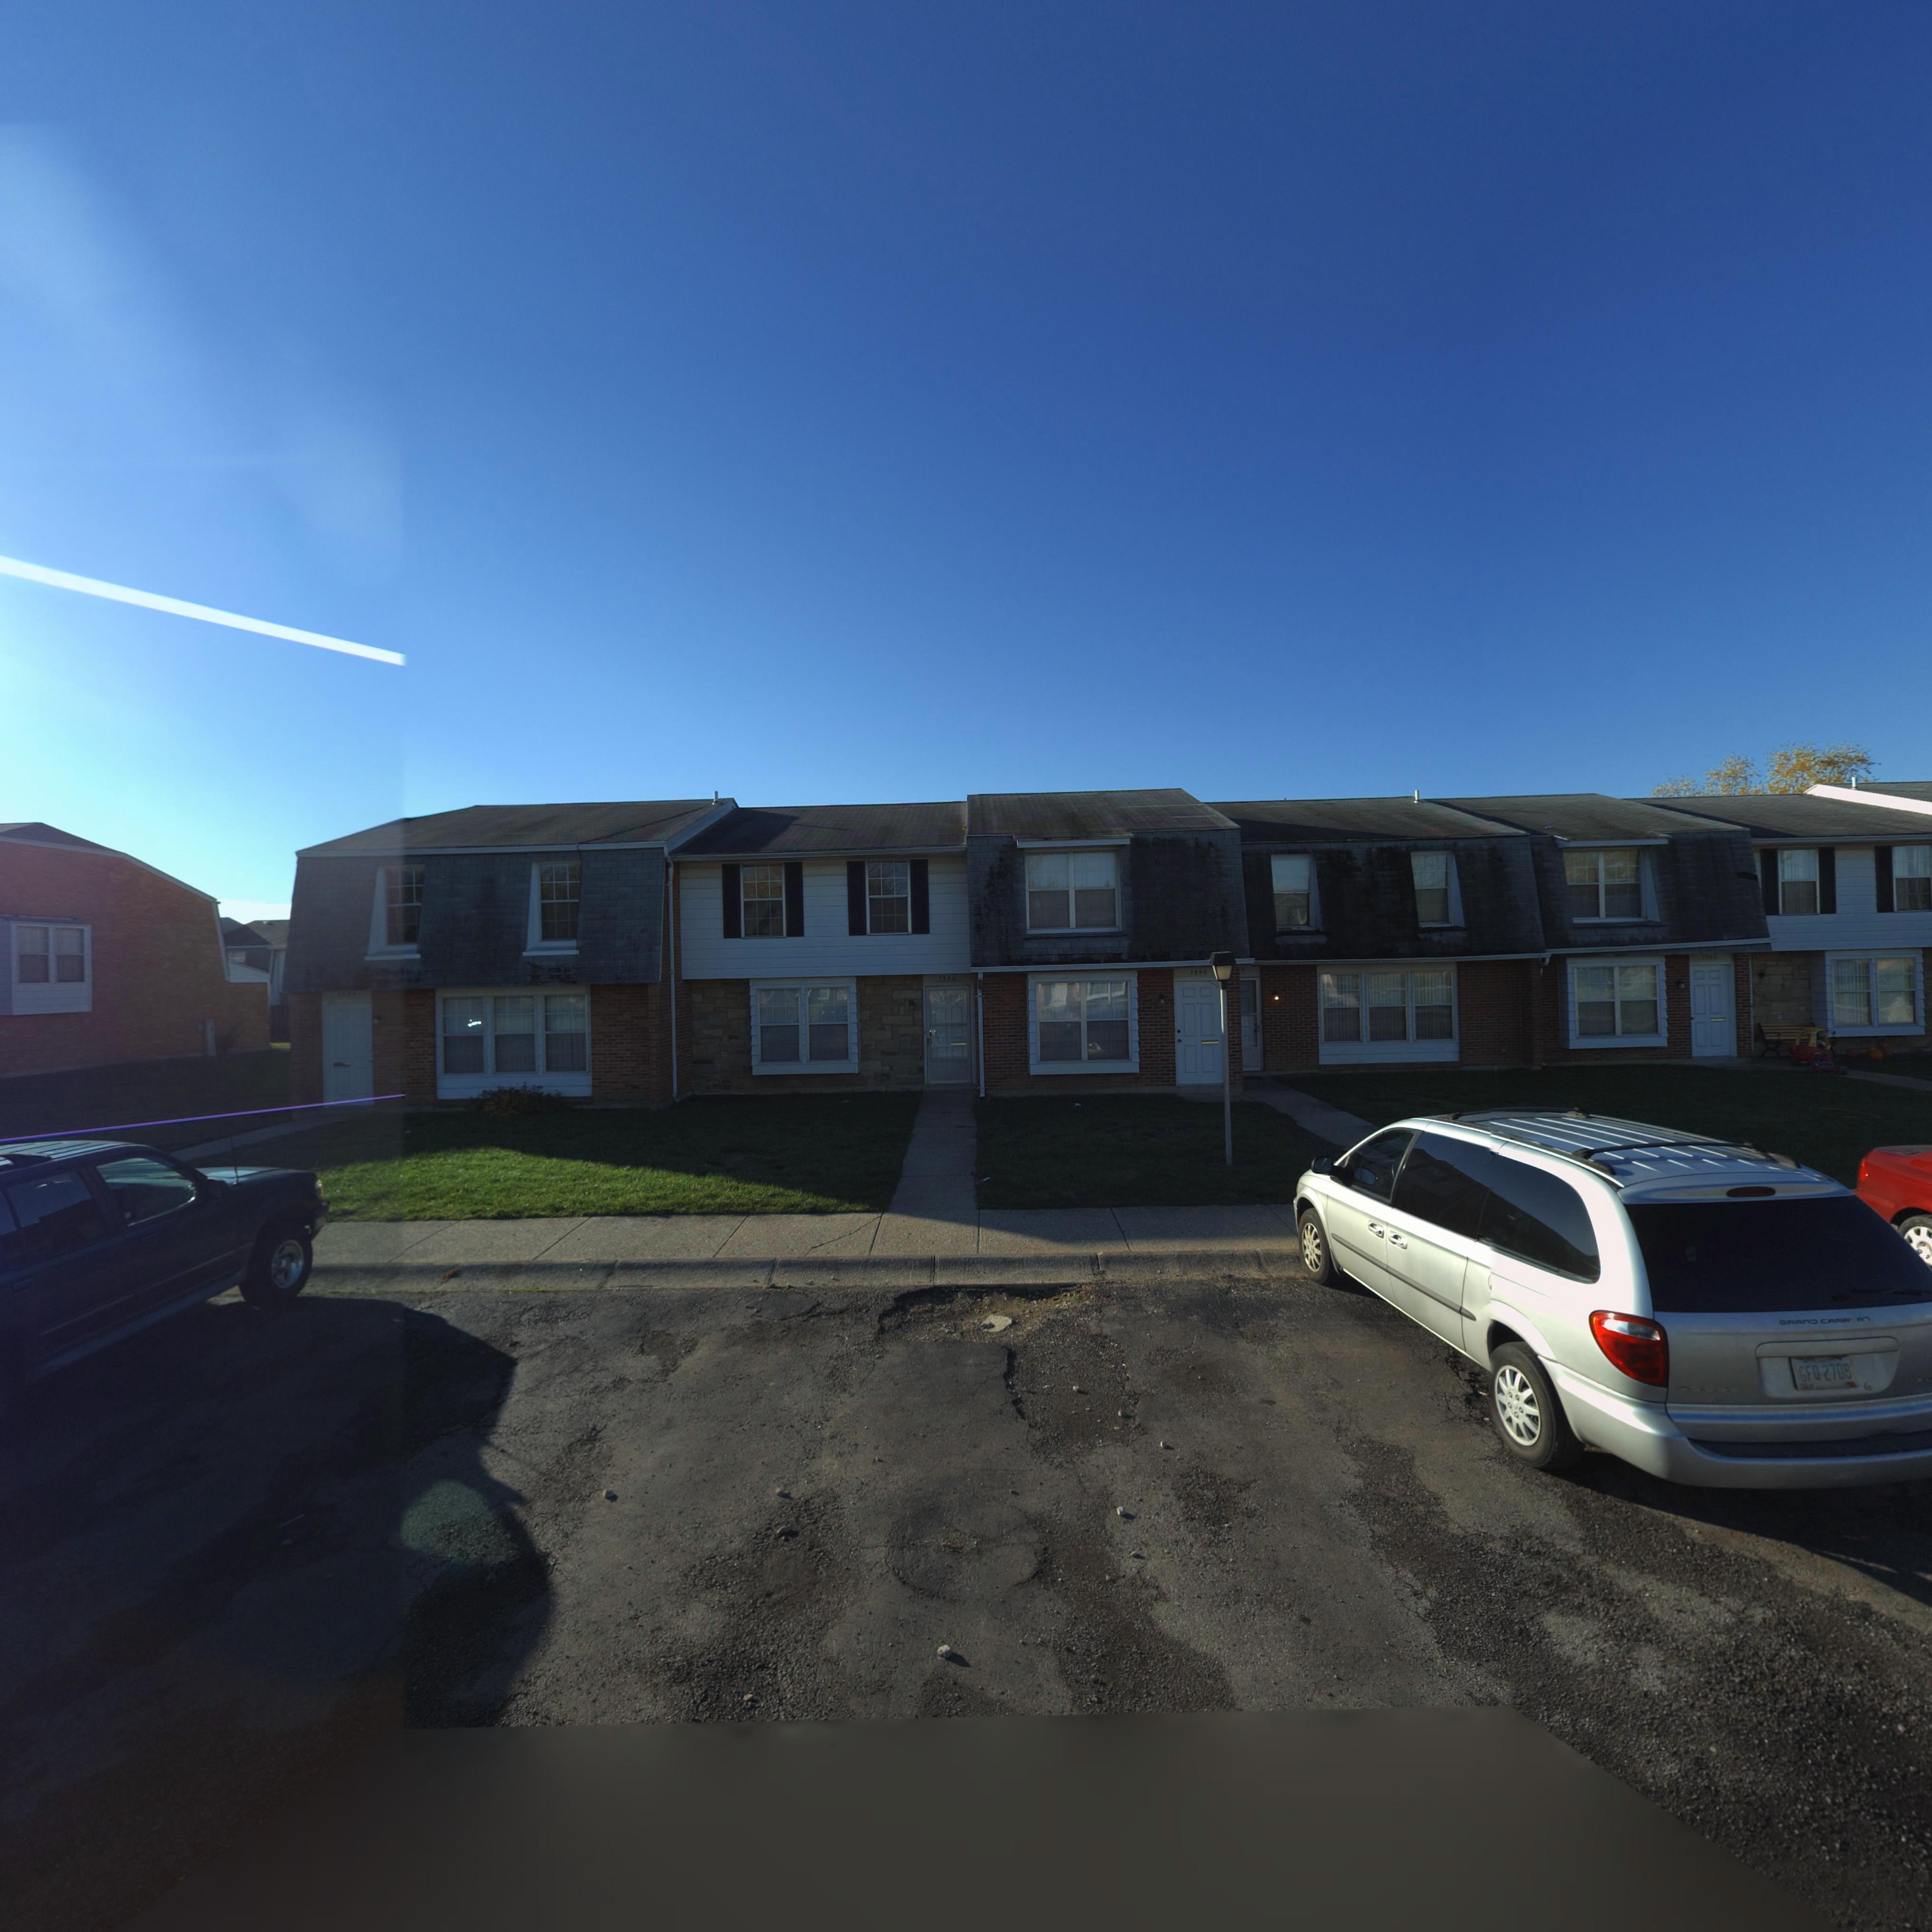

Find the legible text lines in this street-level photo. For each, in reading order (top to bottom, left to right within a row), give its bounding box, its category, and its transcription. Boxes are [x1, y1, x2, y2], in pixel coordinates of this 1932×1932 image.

[1701, 954, 1718, 960] StreetNumber: 7586
[1189, 969, 1207, 976] StreetNumber: 7590
[1240, 966, 1245, 972] StreetNumber: 8
[938, 976, 956, 982] StreetNumber: 7592
[336, 990, 357, 997] StreetNumber: ***4